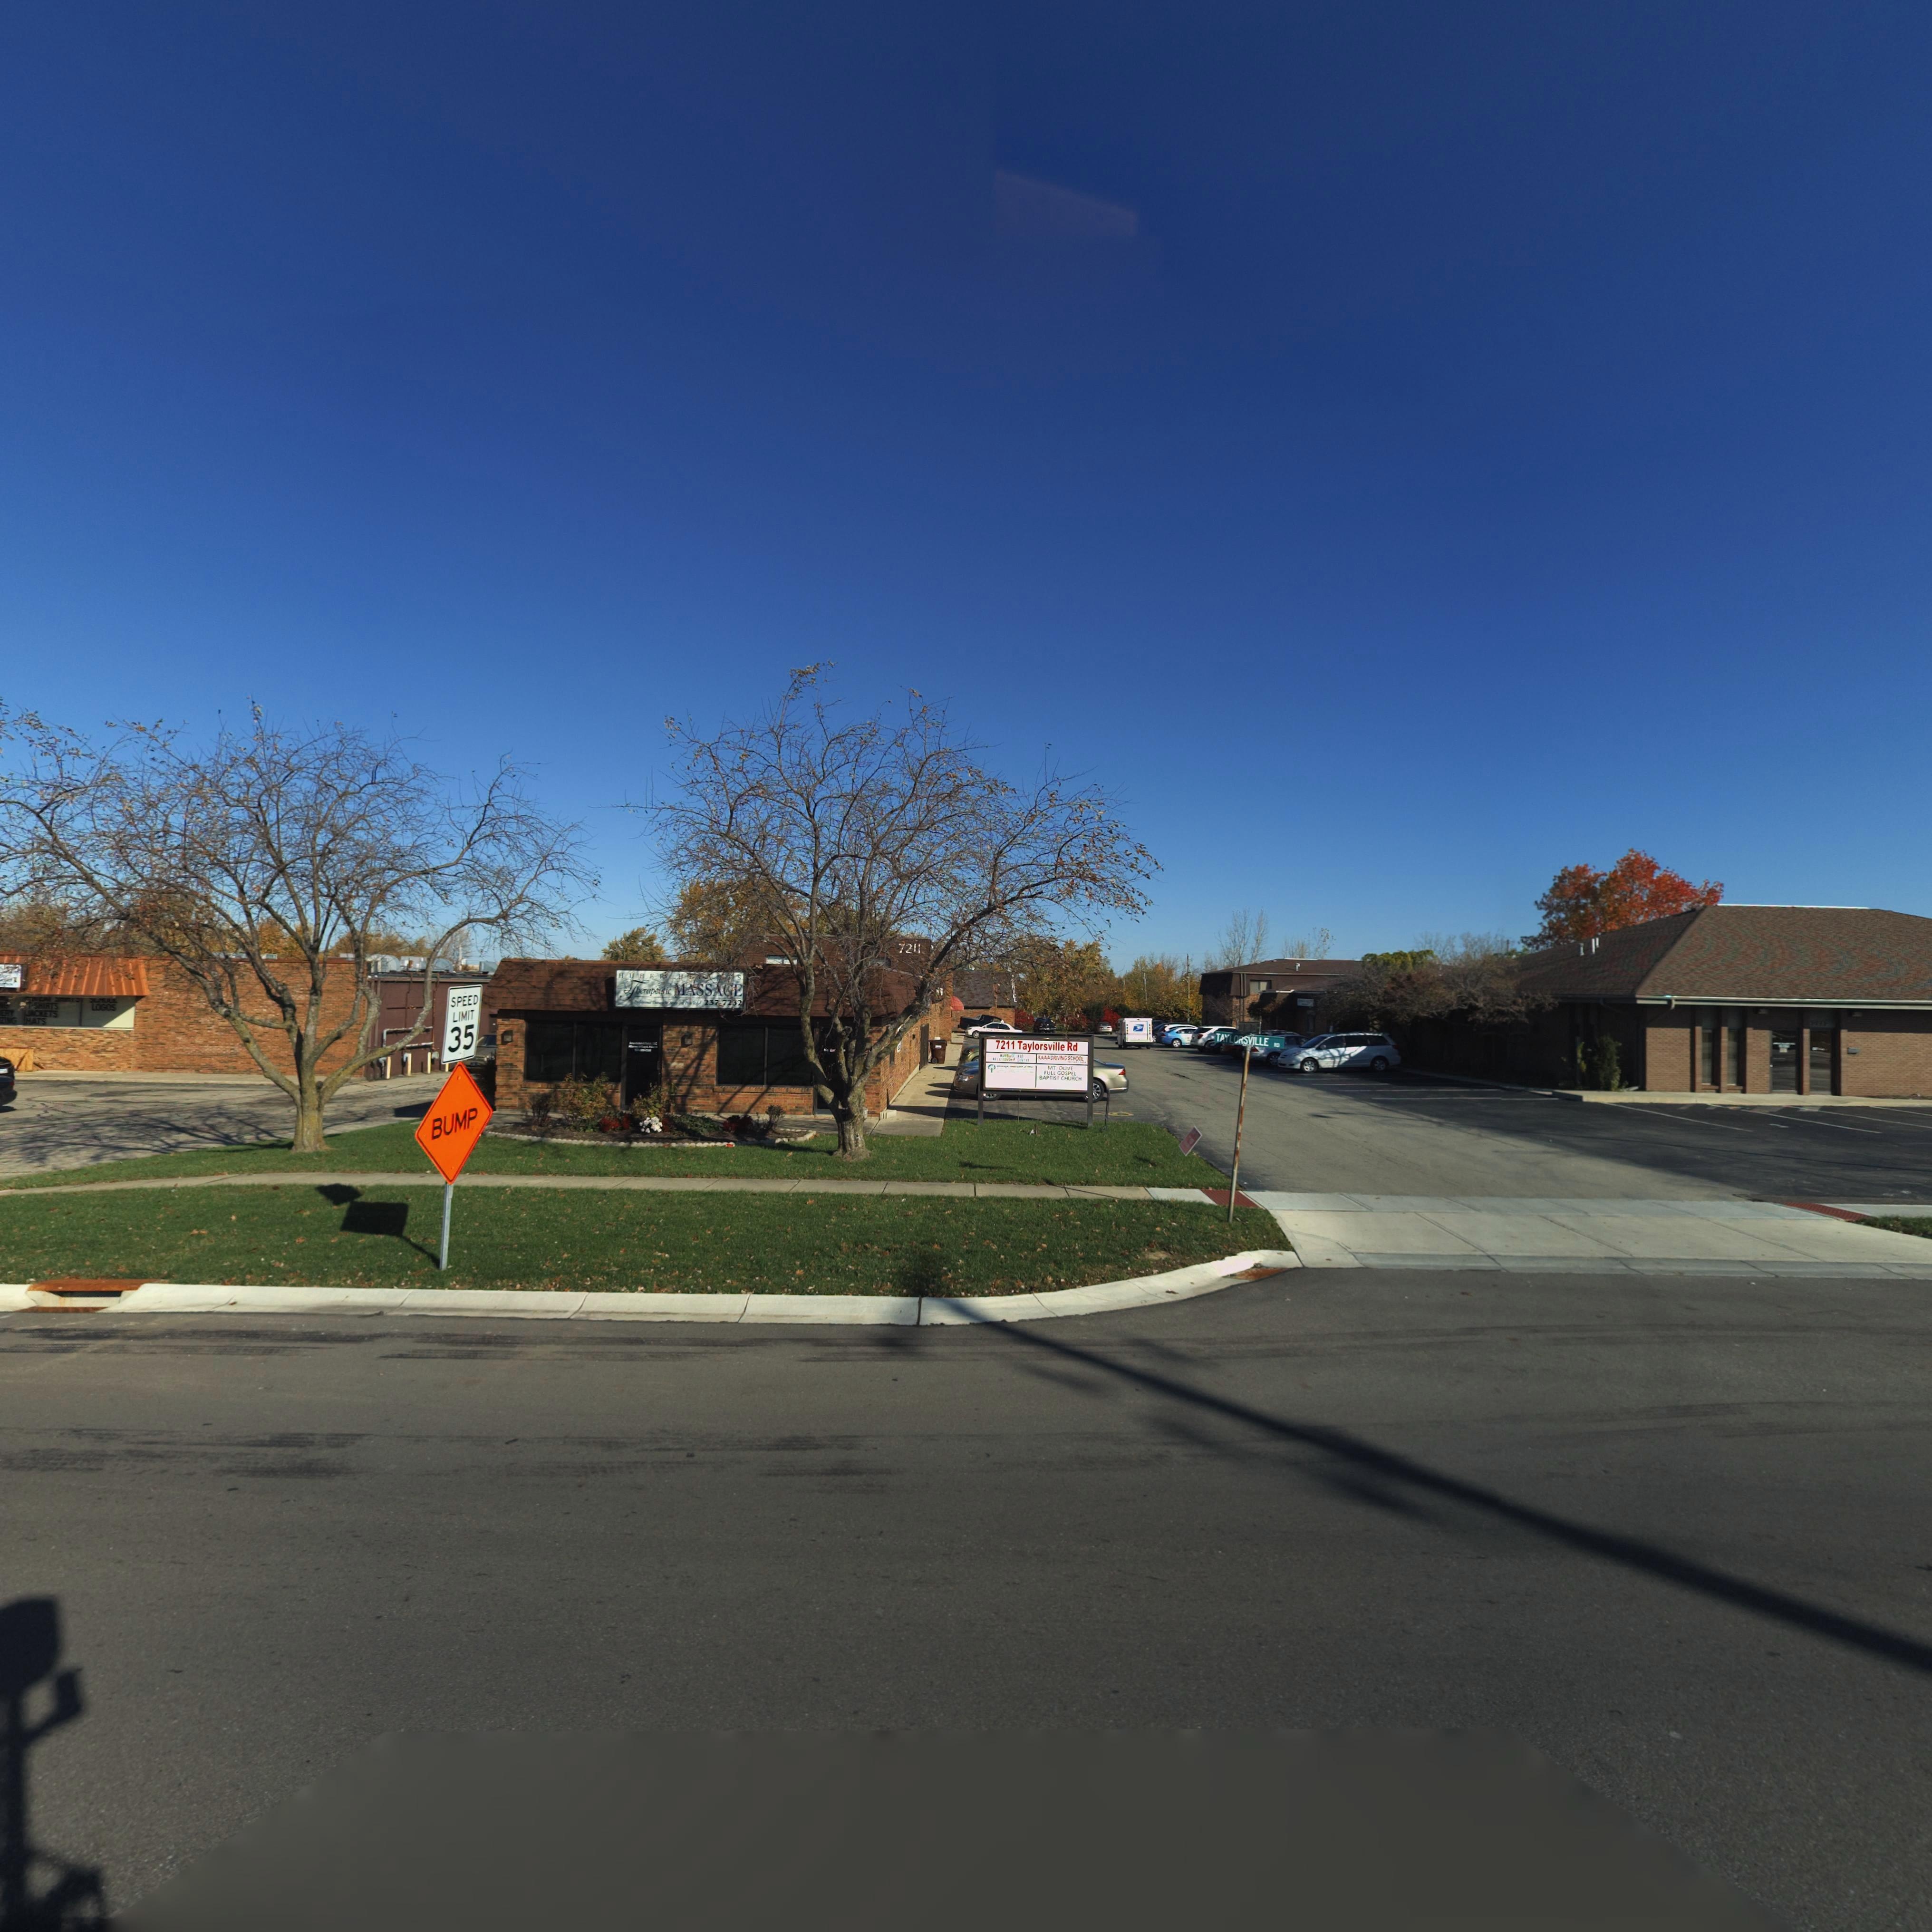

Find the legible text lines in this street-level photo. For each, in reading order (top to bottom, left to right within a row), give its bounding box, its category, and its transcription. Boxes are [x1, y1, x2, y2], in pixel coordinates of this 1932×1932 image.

[898, 942, 922, 955] StreetNumber: 7211
[618, 972, 665, 980] BusinessName: HUBER
[618, 979, 743, 1002] BusinessName: Therapeutic MASSAGE
[995, 1039, 1015, 1051] StreetNumber: 7211
[1017, 1040, 1079, 1053] StreetName: Taylorsville Rd
[1215, 1032, 1281, 1048] StreetName: TAYLORSVILLE RD
[1036, 1055, 1084, 1062] BusinessName: AAAA DRIVING SCHOOL
[1043, 1070, 1077, 1076] BusinessName: FULL GOSPEL
[1047, 1065, 1074, 1071] BusinessName: MT OLIVE
[1039, 1075, 1082, 1082] BusinessName: BAPTIST CHURCH